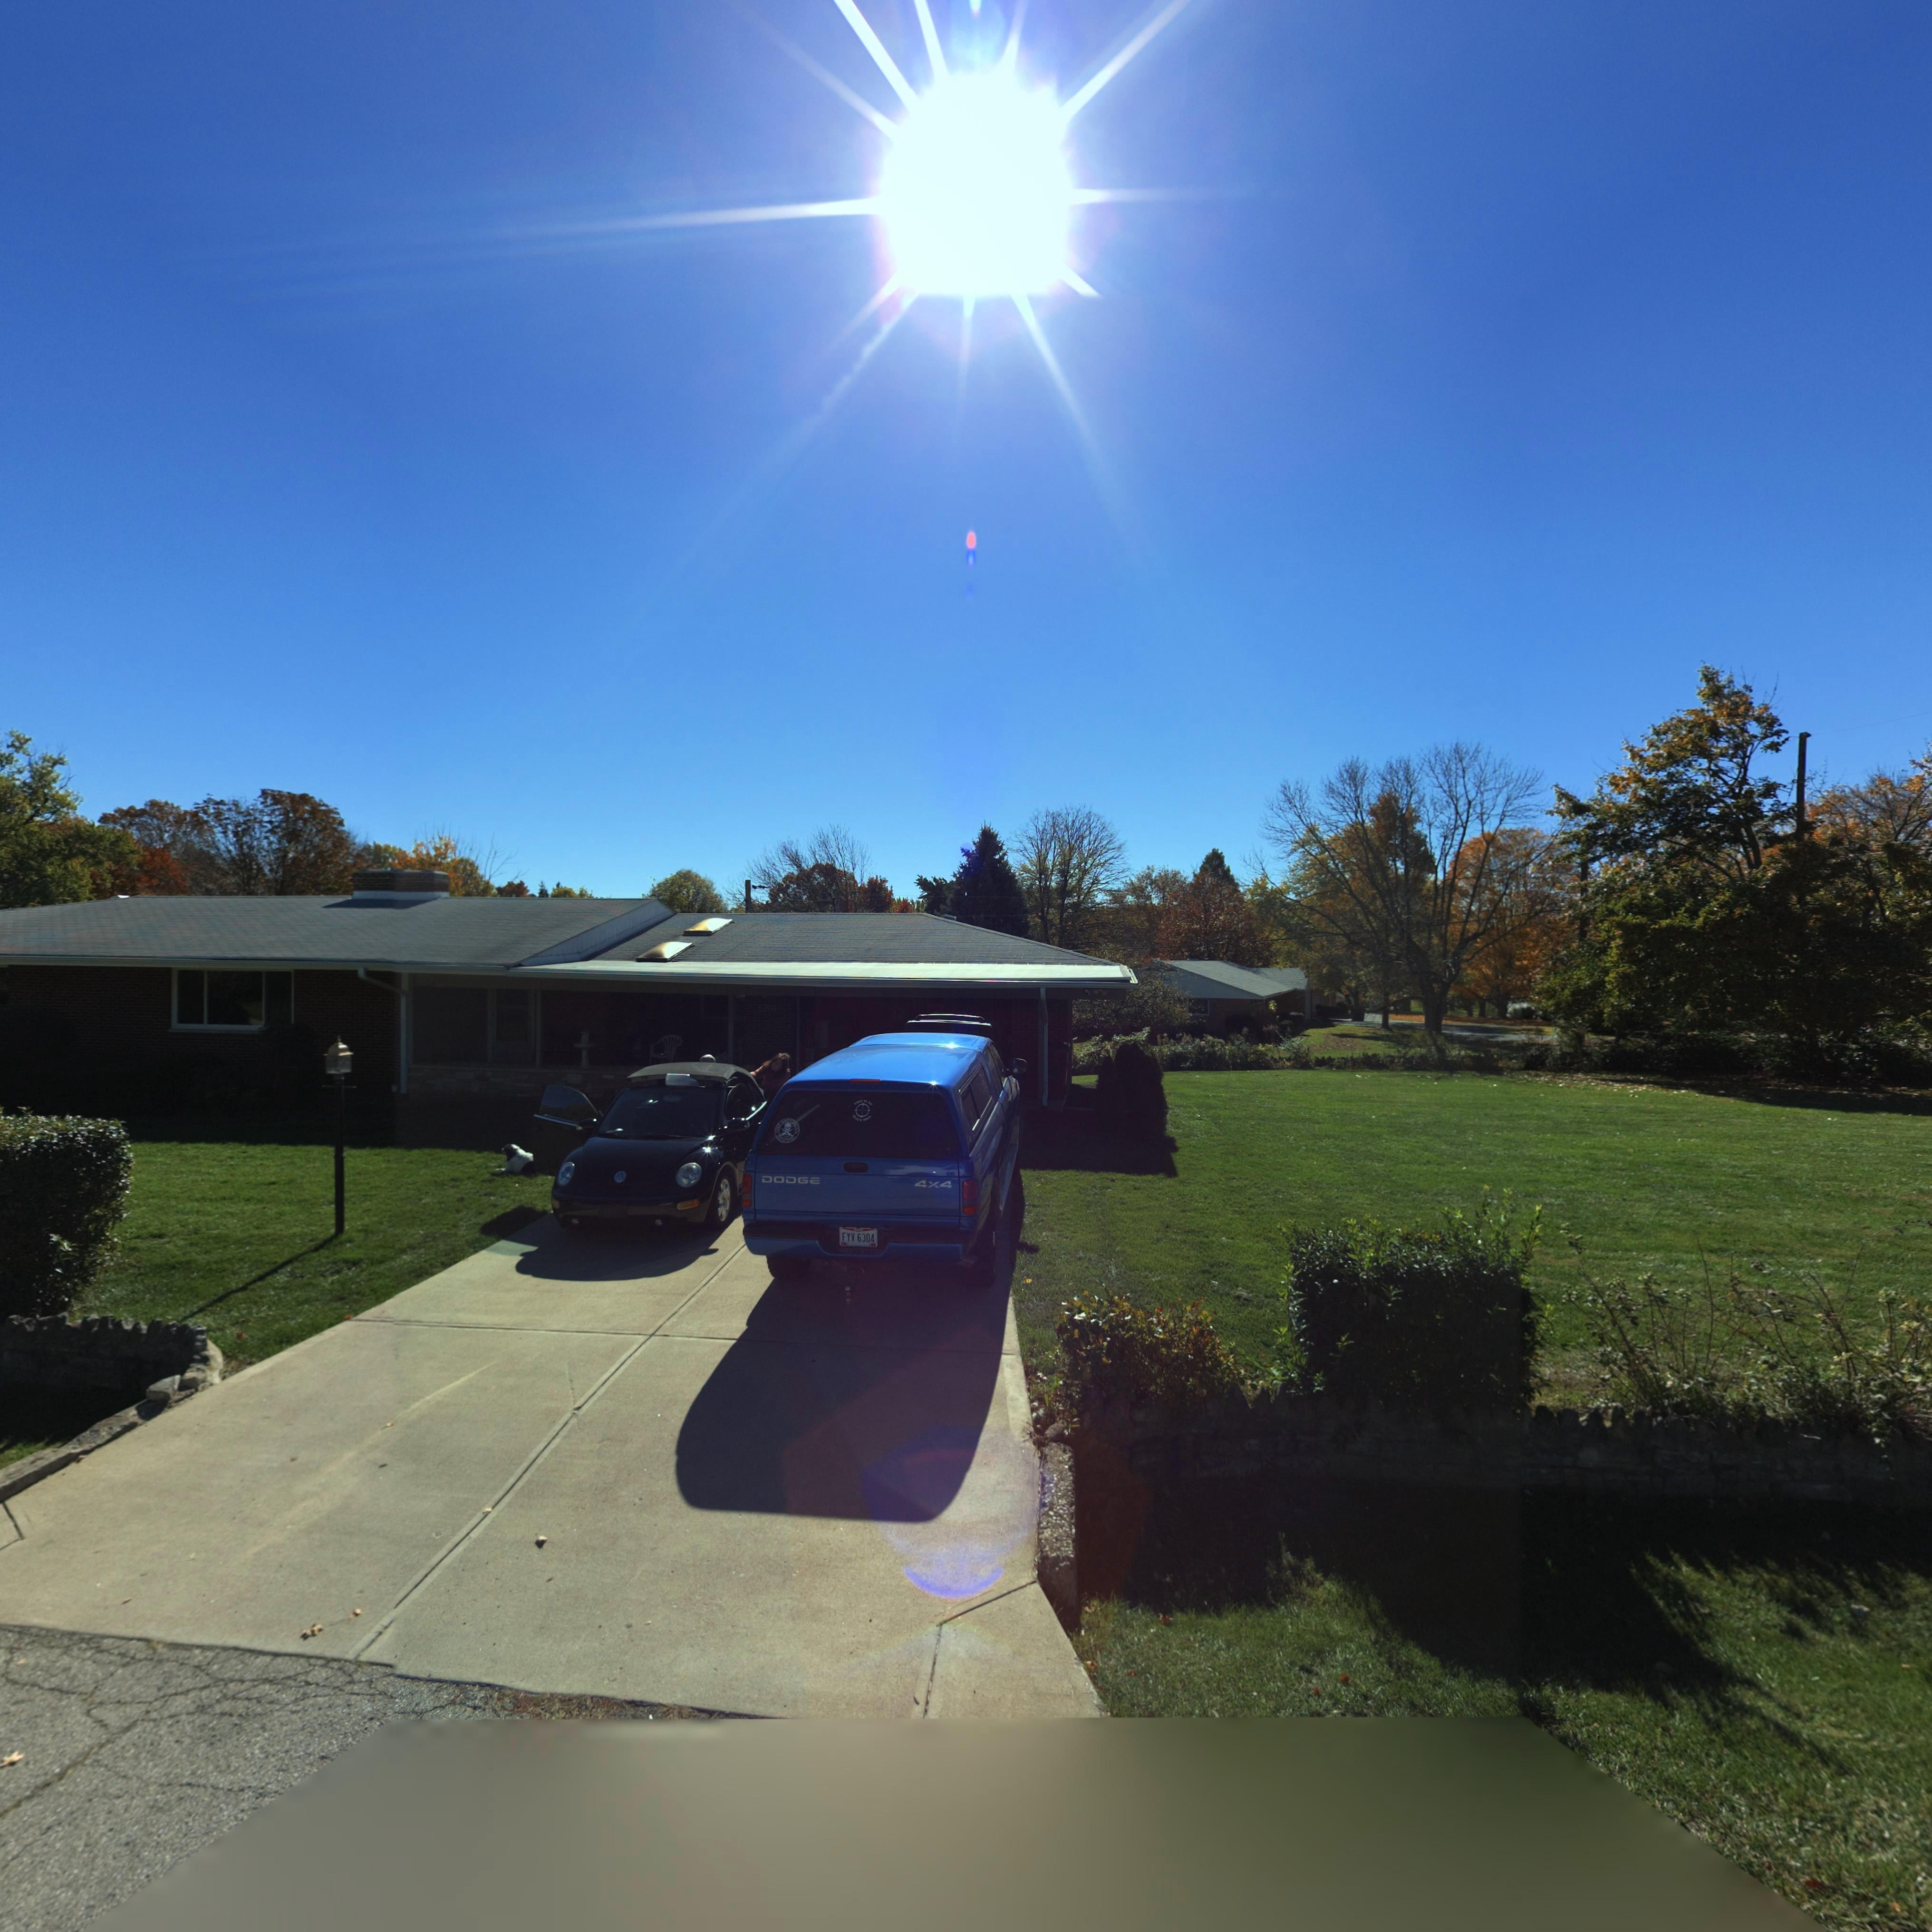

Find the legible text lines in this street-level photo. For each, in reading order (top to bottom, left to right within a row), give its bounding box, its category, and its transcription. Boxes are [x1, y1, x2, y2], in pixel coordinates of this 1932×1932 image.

[758, 1003, 778, 1013] StreetNumber: 5200